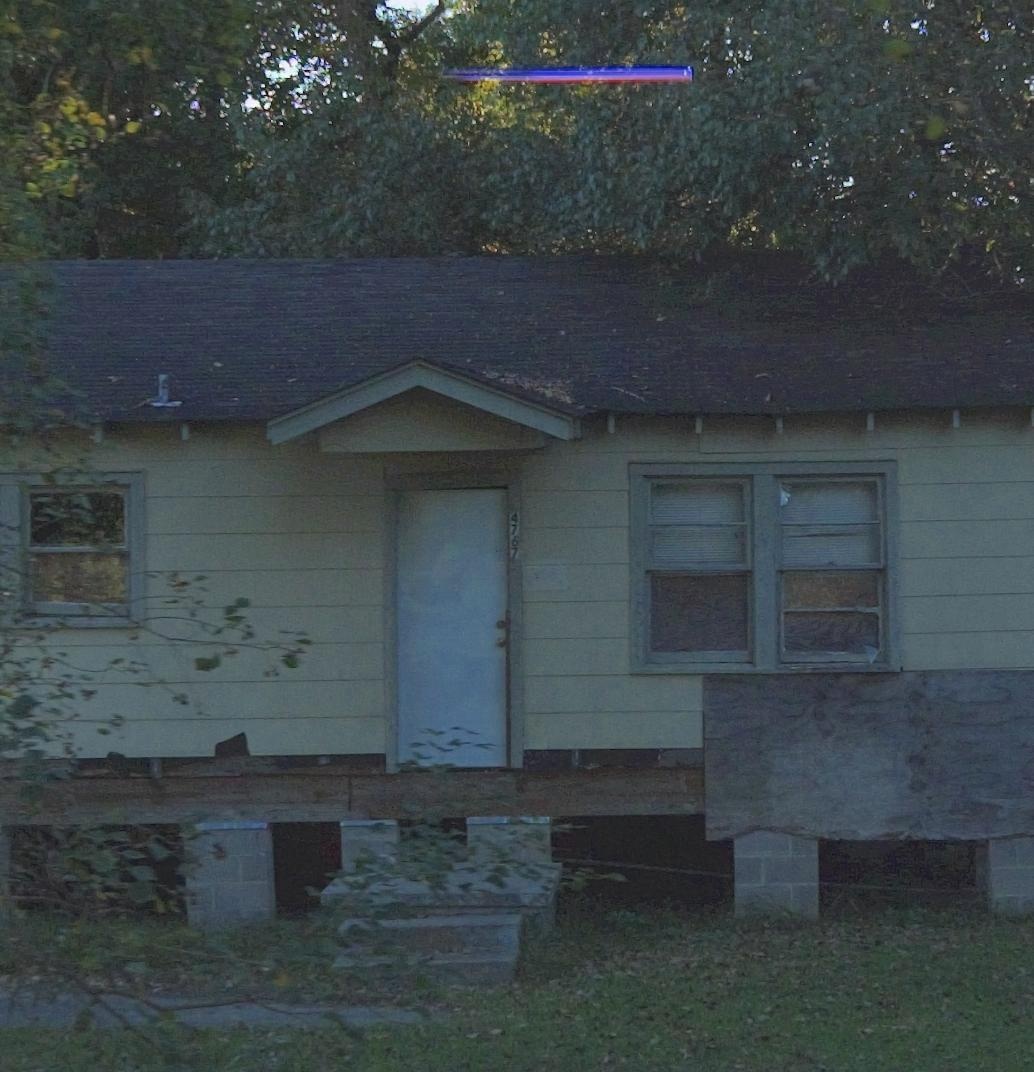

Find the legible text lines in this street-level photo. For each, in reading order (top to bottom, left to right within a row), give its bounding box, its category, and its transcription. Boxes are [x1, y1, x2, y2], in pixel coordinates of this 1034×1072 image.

[509, 511, 520, 560] StreetNumber: 4767